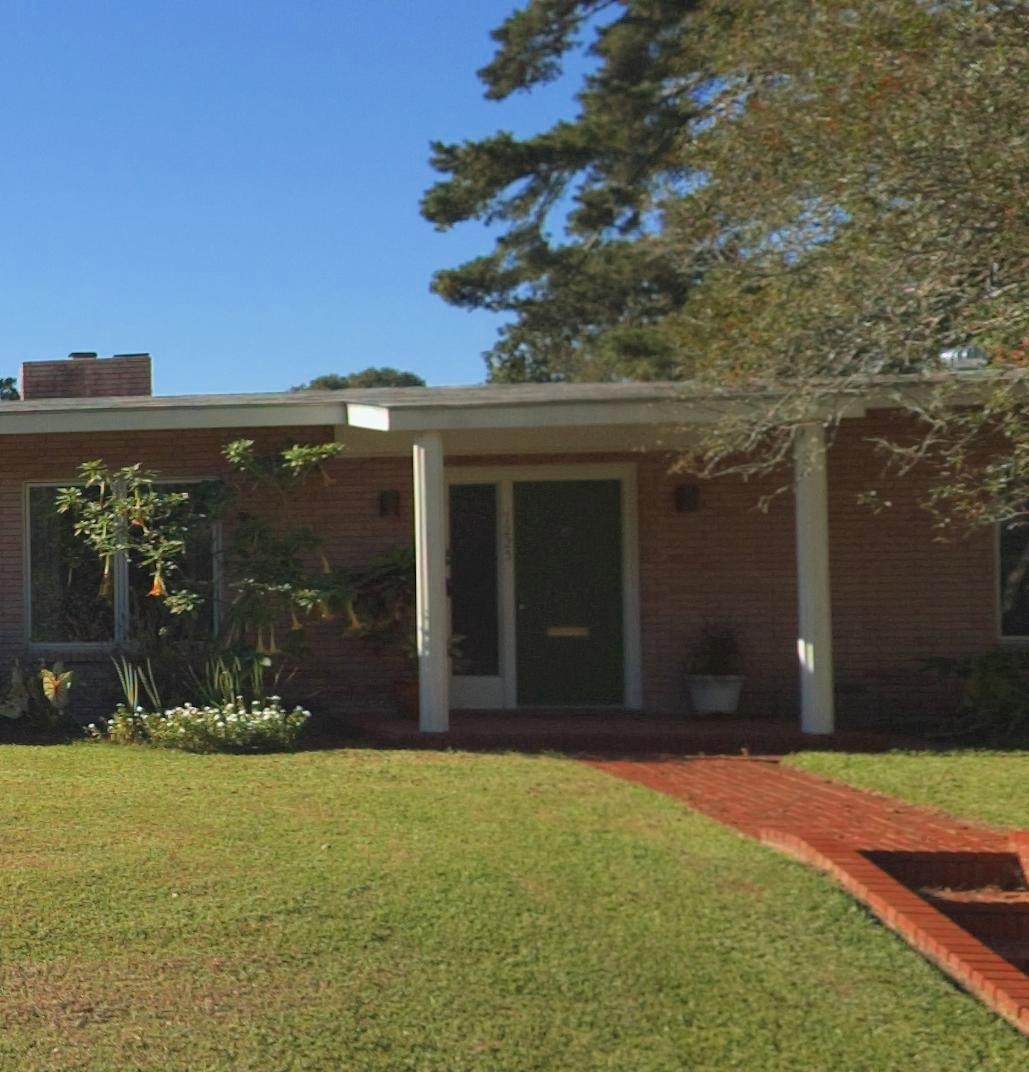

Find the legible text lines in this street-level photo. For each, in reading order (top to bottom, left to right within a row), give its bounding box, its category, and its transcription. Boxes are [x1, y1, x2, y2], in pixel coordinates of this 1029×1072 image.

[501, 511, 514, 563] StreetNumber: 1225